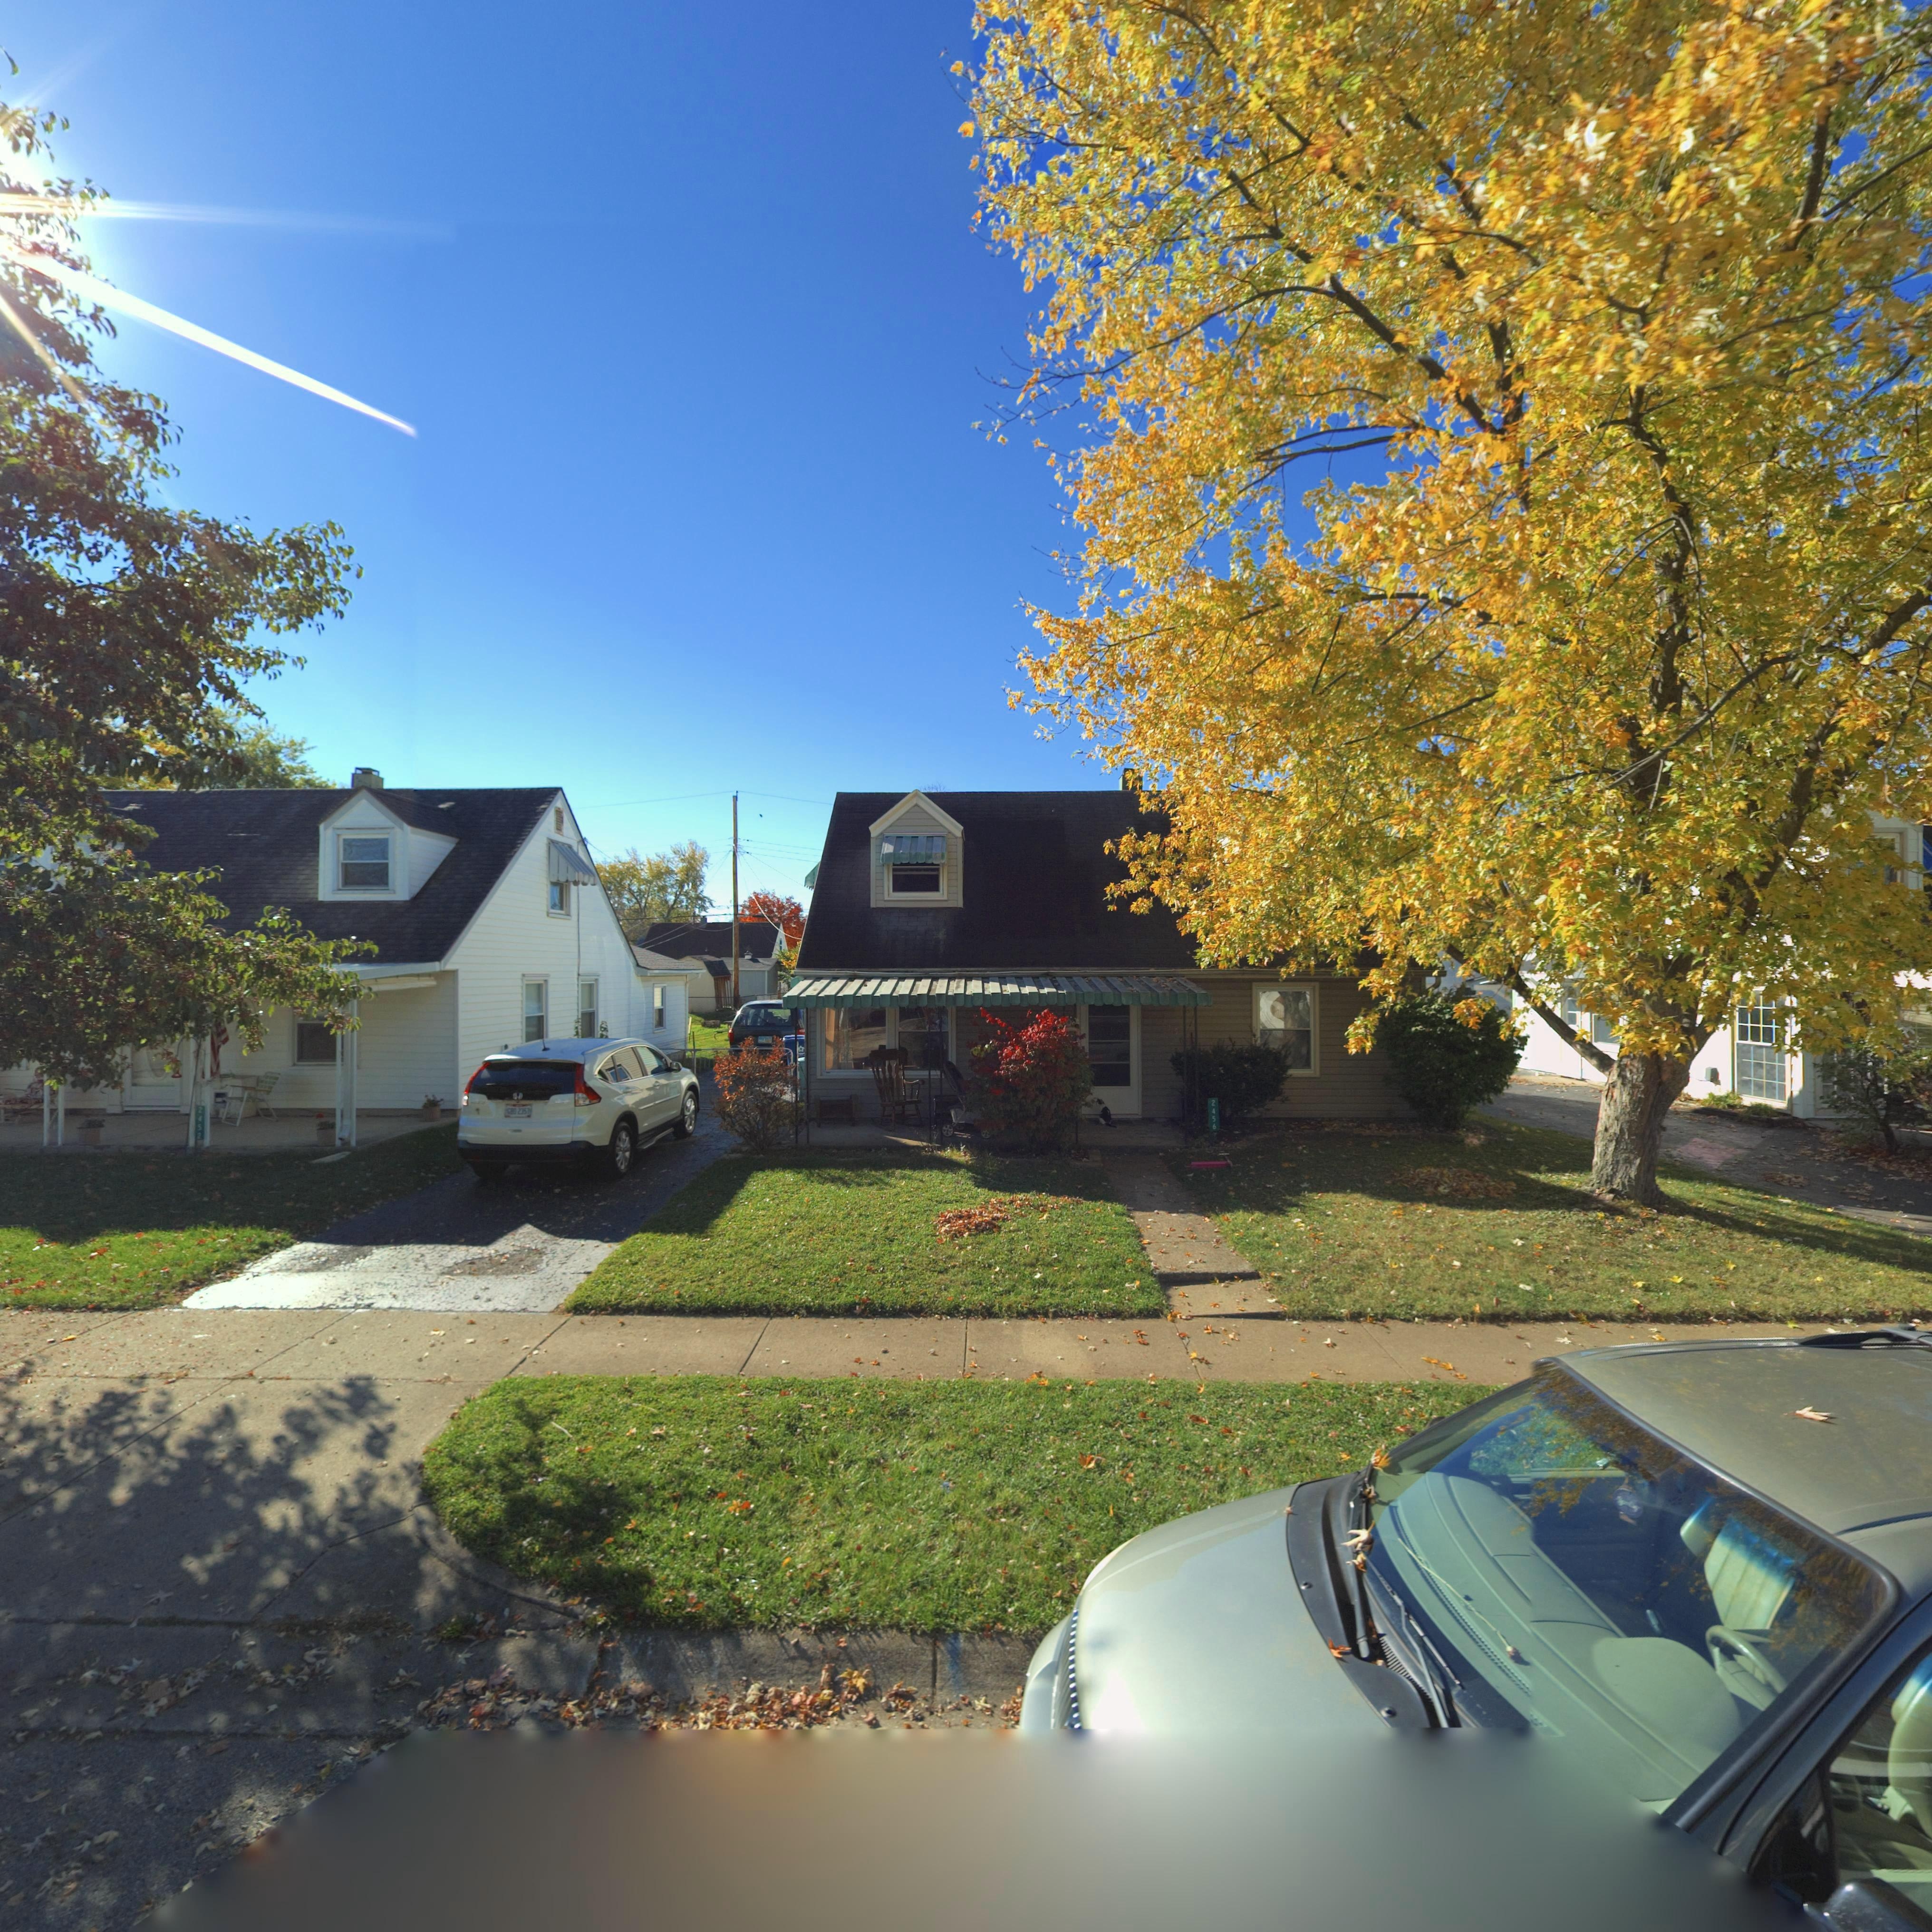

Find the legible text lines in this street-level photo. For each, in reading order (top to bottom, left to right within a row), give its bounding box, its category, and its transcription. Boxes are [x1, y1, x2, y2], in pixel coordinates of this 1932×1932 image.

[195, 1105, 204, 1140] StreetNumber: 2*52
[1210, 1098, 1217, 1132] StreetNumber: 2456